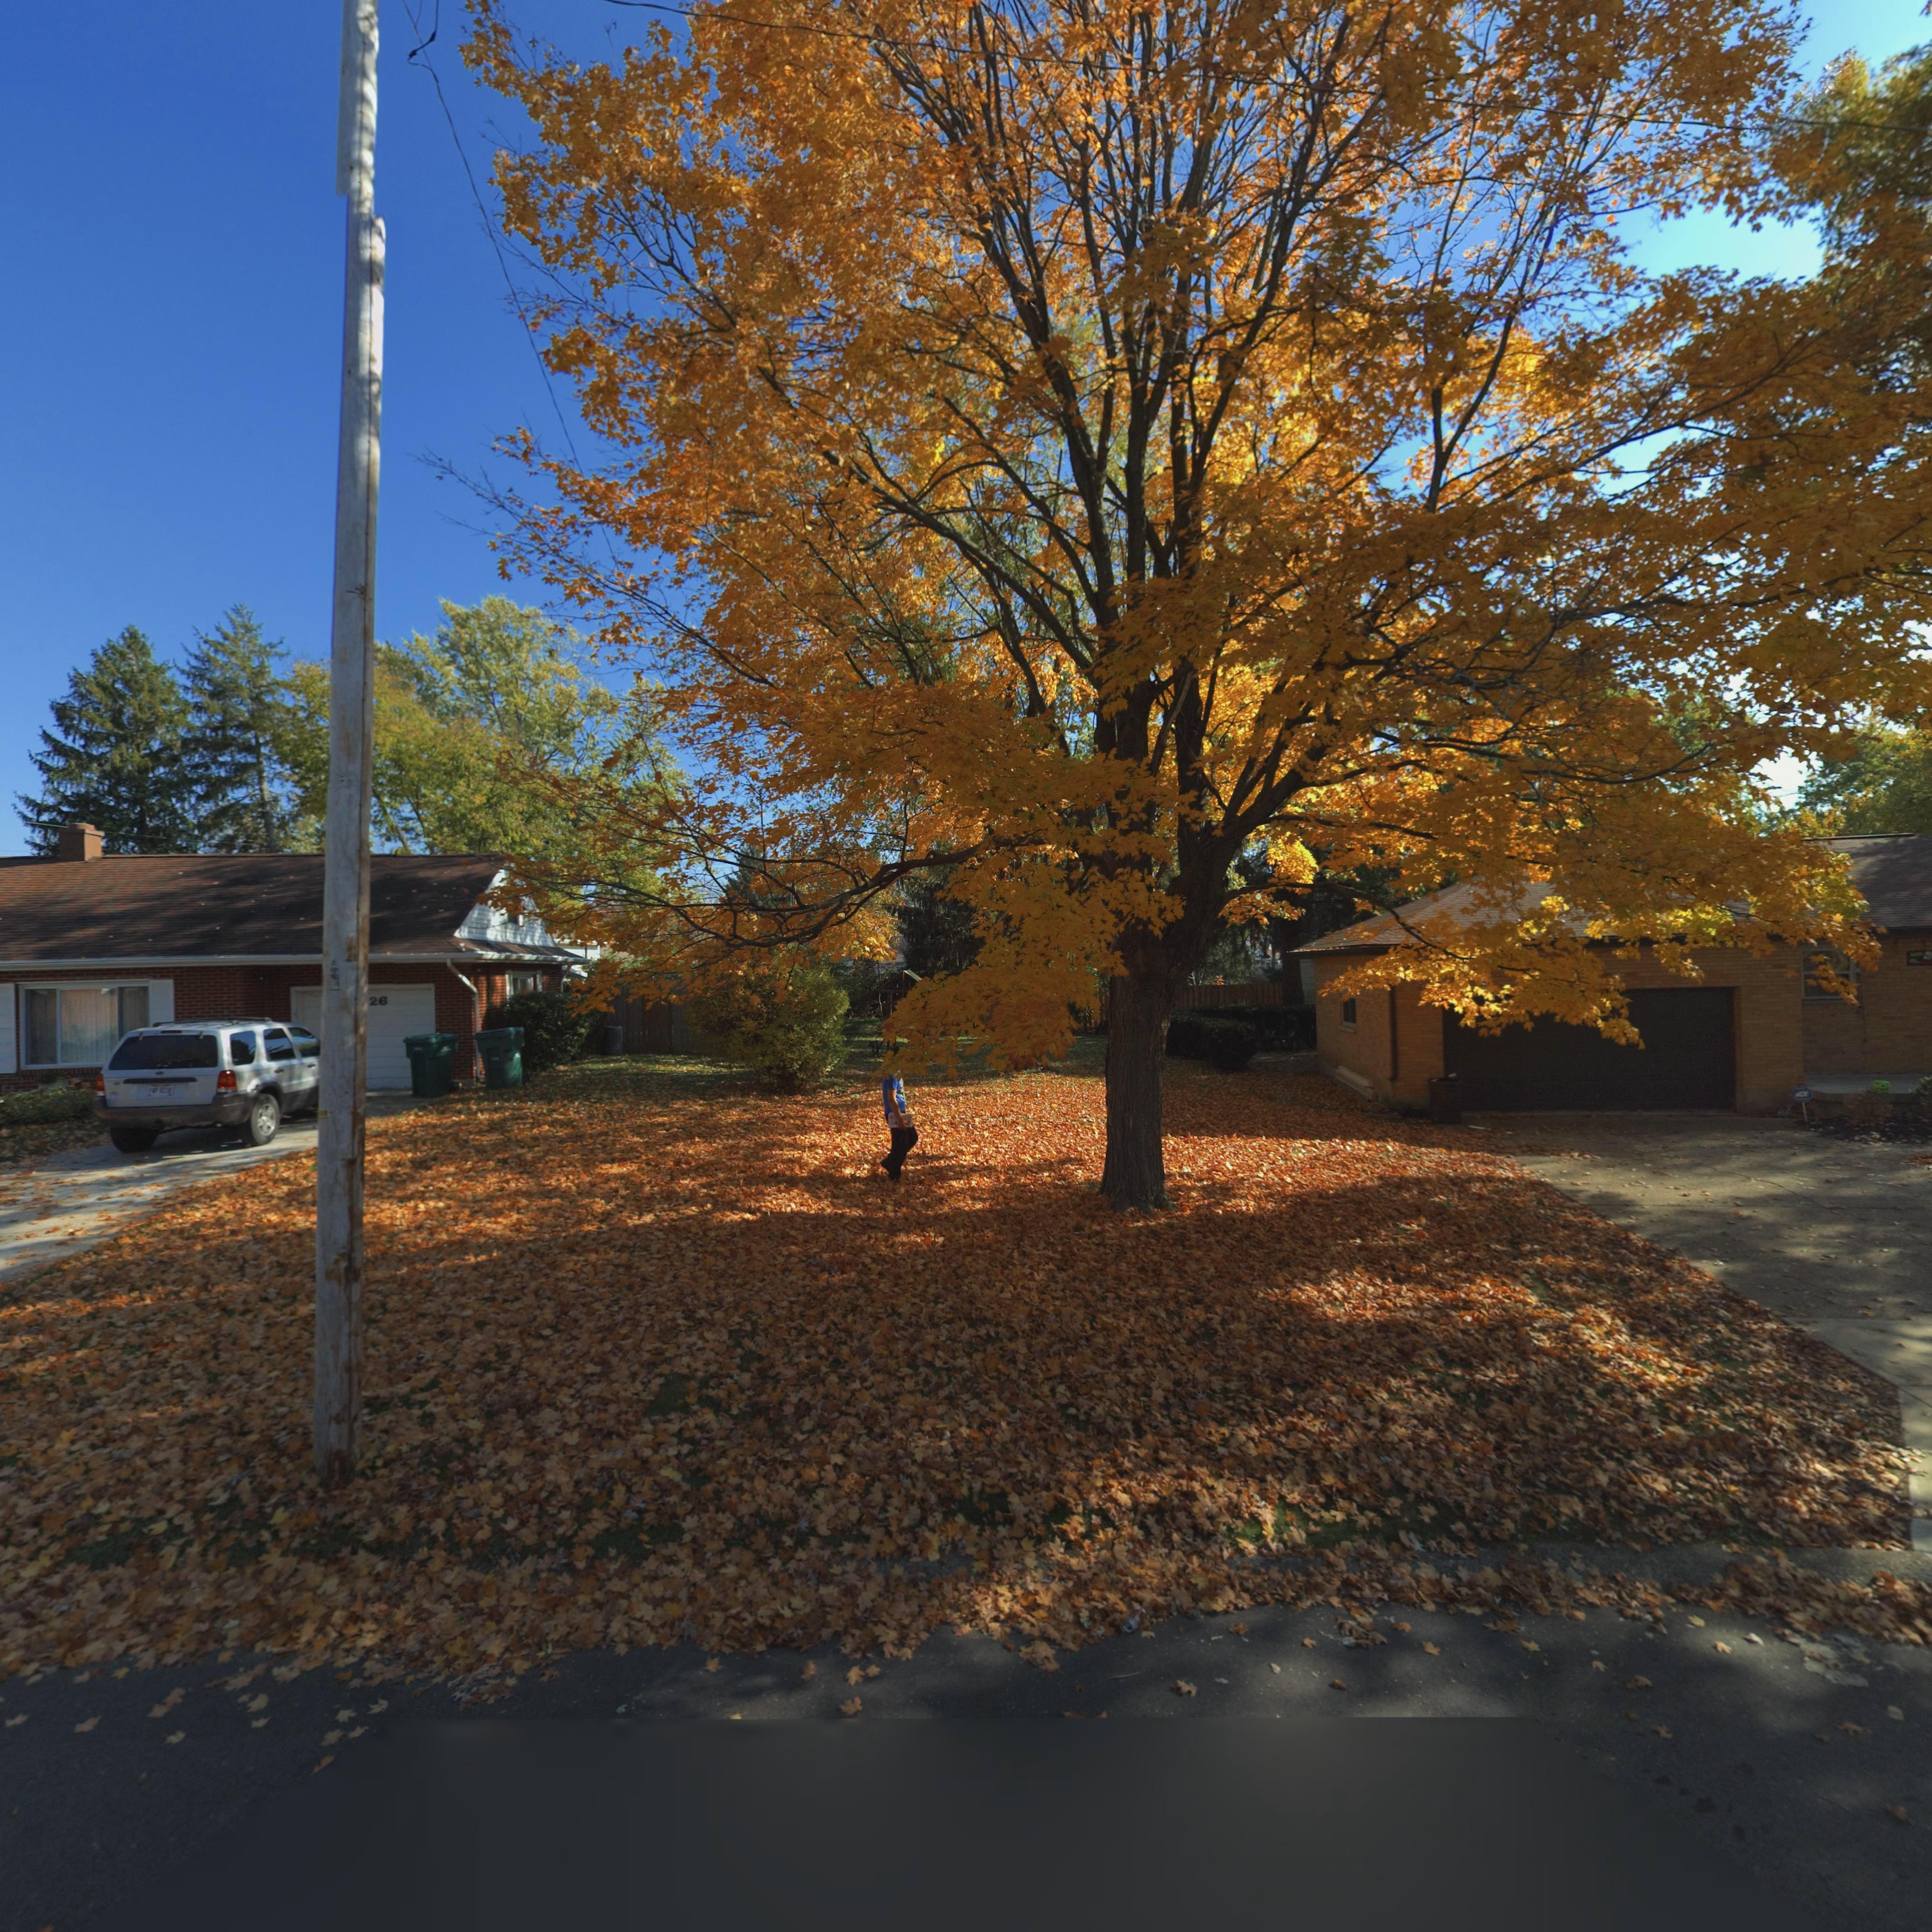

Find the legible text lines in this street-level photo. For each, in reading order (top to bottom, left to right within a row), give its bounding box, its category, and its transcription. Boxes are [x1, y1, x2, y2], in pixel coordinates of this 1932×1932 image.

[368, 995, 388, 1007] StreetNumber: 26